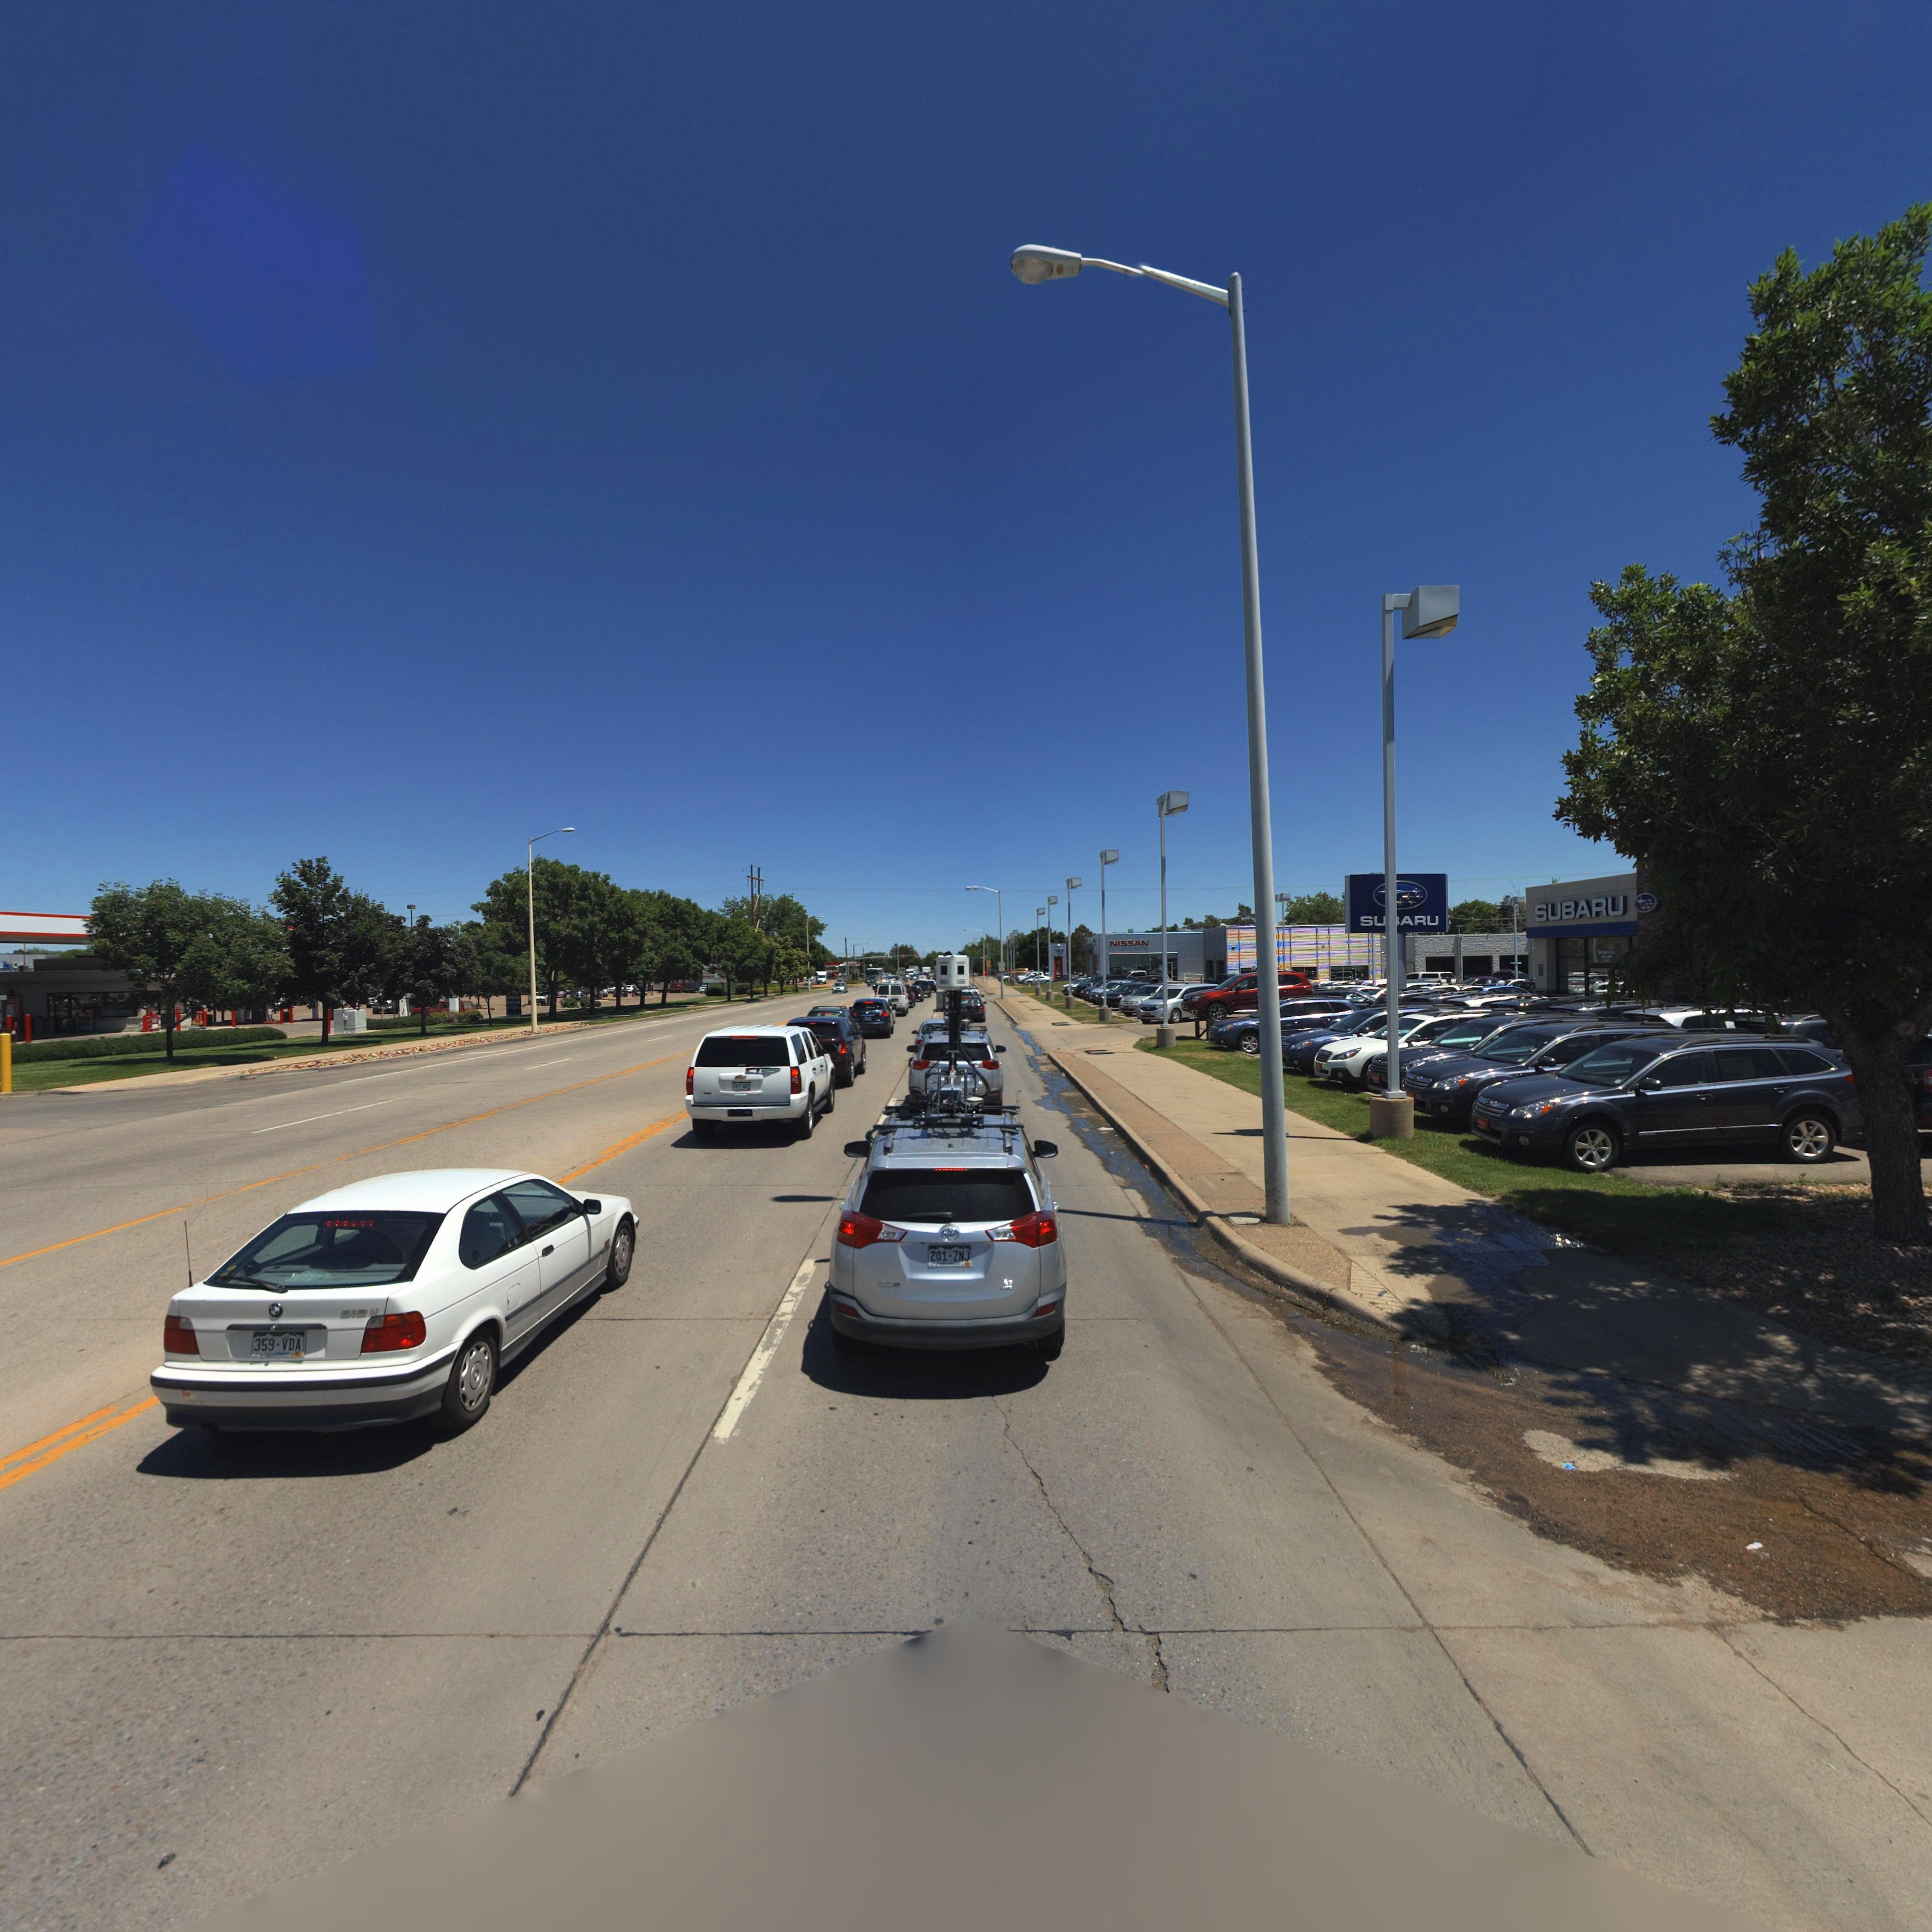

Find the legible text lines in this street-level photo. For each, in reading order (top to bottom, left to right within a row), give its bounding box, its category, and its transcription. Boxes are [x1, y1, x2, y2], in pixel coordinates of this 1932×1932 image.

[1534, 894, 1624, 922] BusinessName: SUBARU
[1360, 915, 1439, 926] BusinessName: S**ARU
[1110, 939, 1149, 947] BusinessName: NISSAN
[1597, 950, 1615, 954] BusinessName: SUBARU
[1601, 955, 1612, 958] BusinessName: SALES
[2, 961, 18, 968] BusinessName: ExC